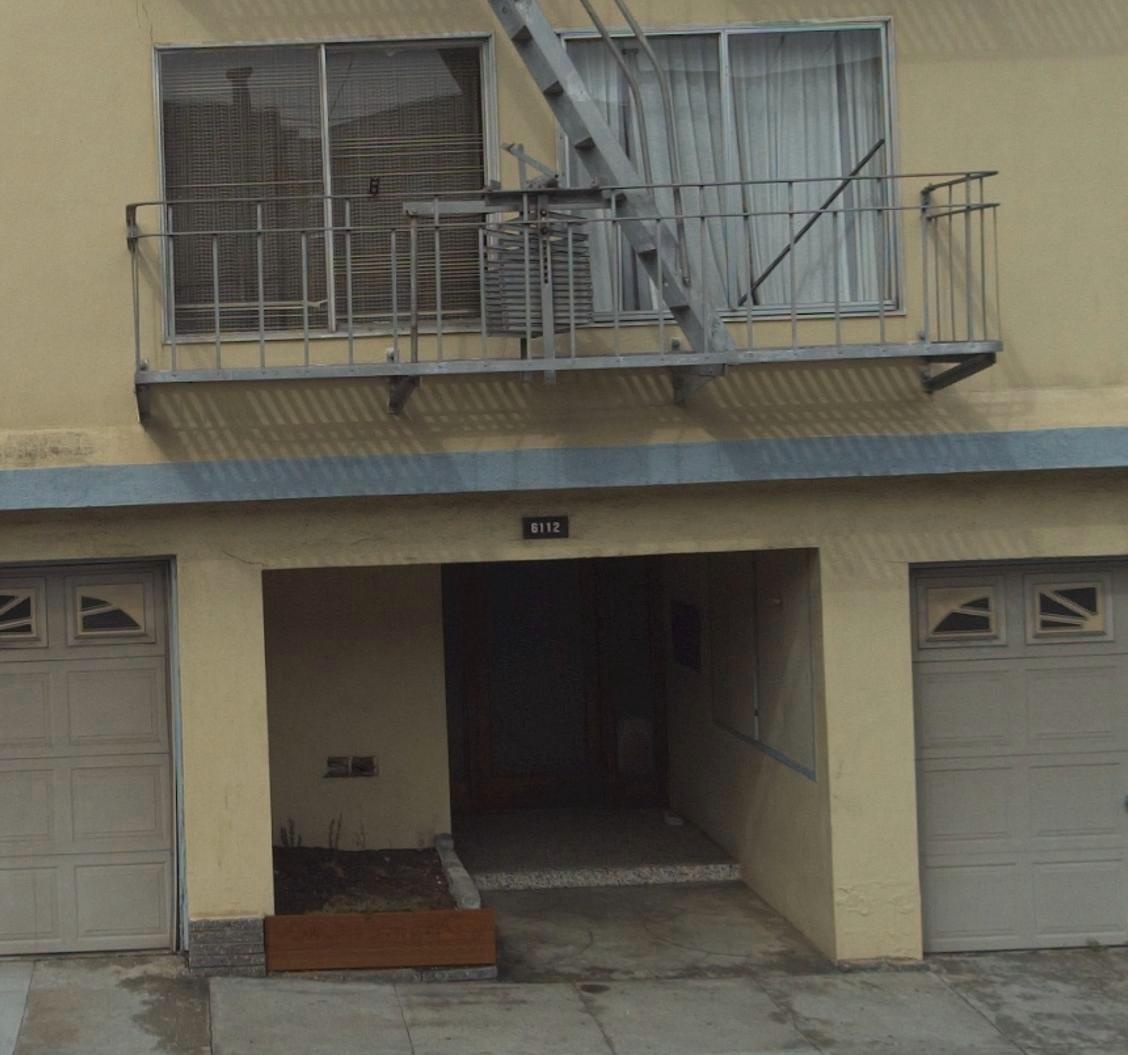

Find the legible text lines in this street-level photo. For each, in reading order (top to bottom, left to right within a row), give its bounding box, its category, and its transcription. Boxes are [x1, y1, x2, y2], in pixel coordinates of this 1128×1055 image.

[530, 521, 561, 534] StreetNumber: 6112